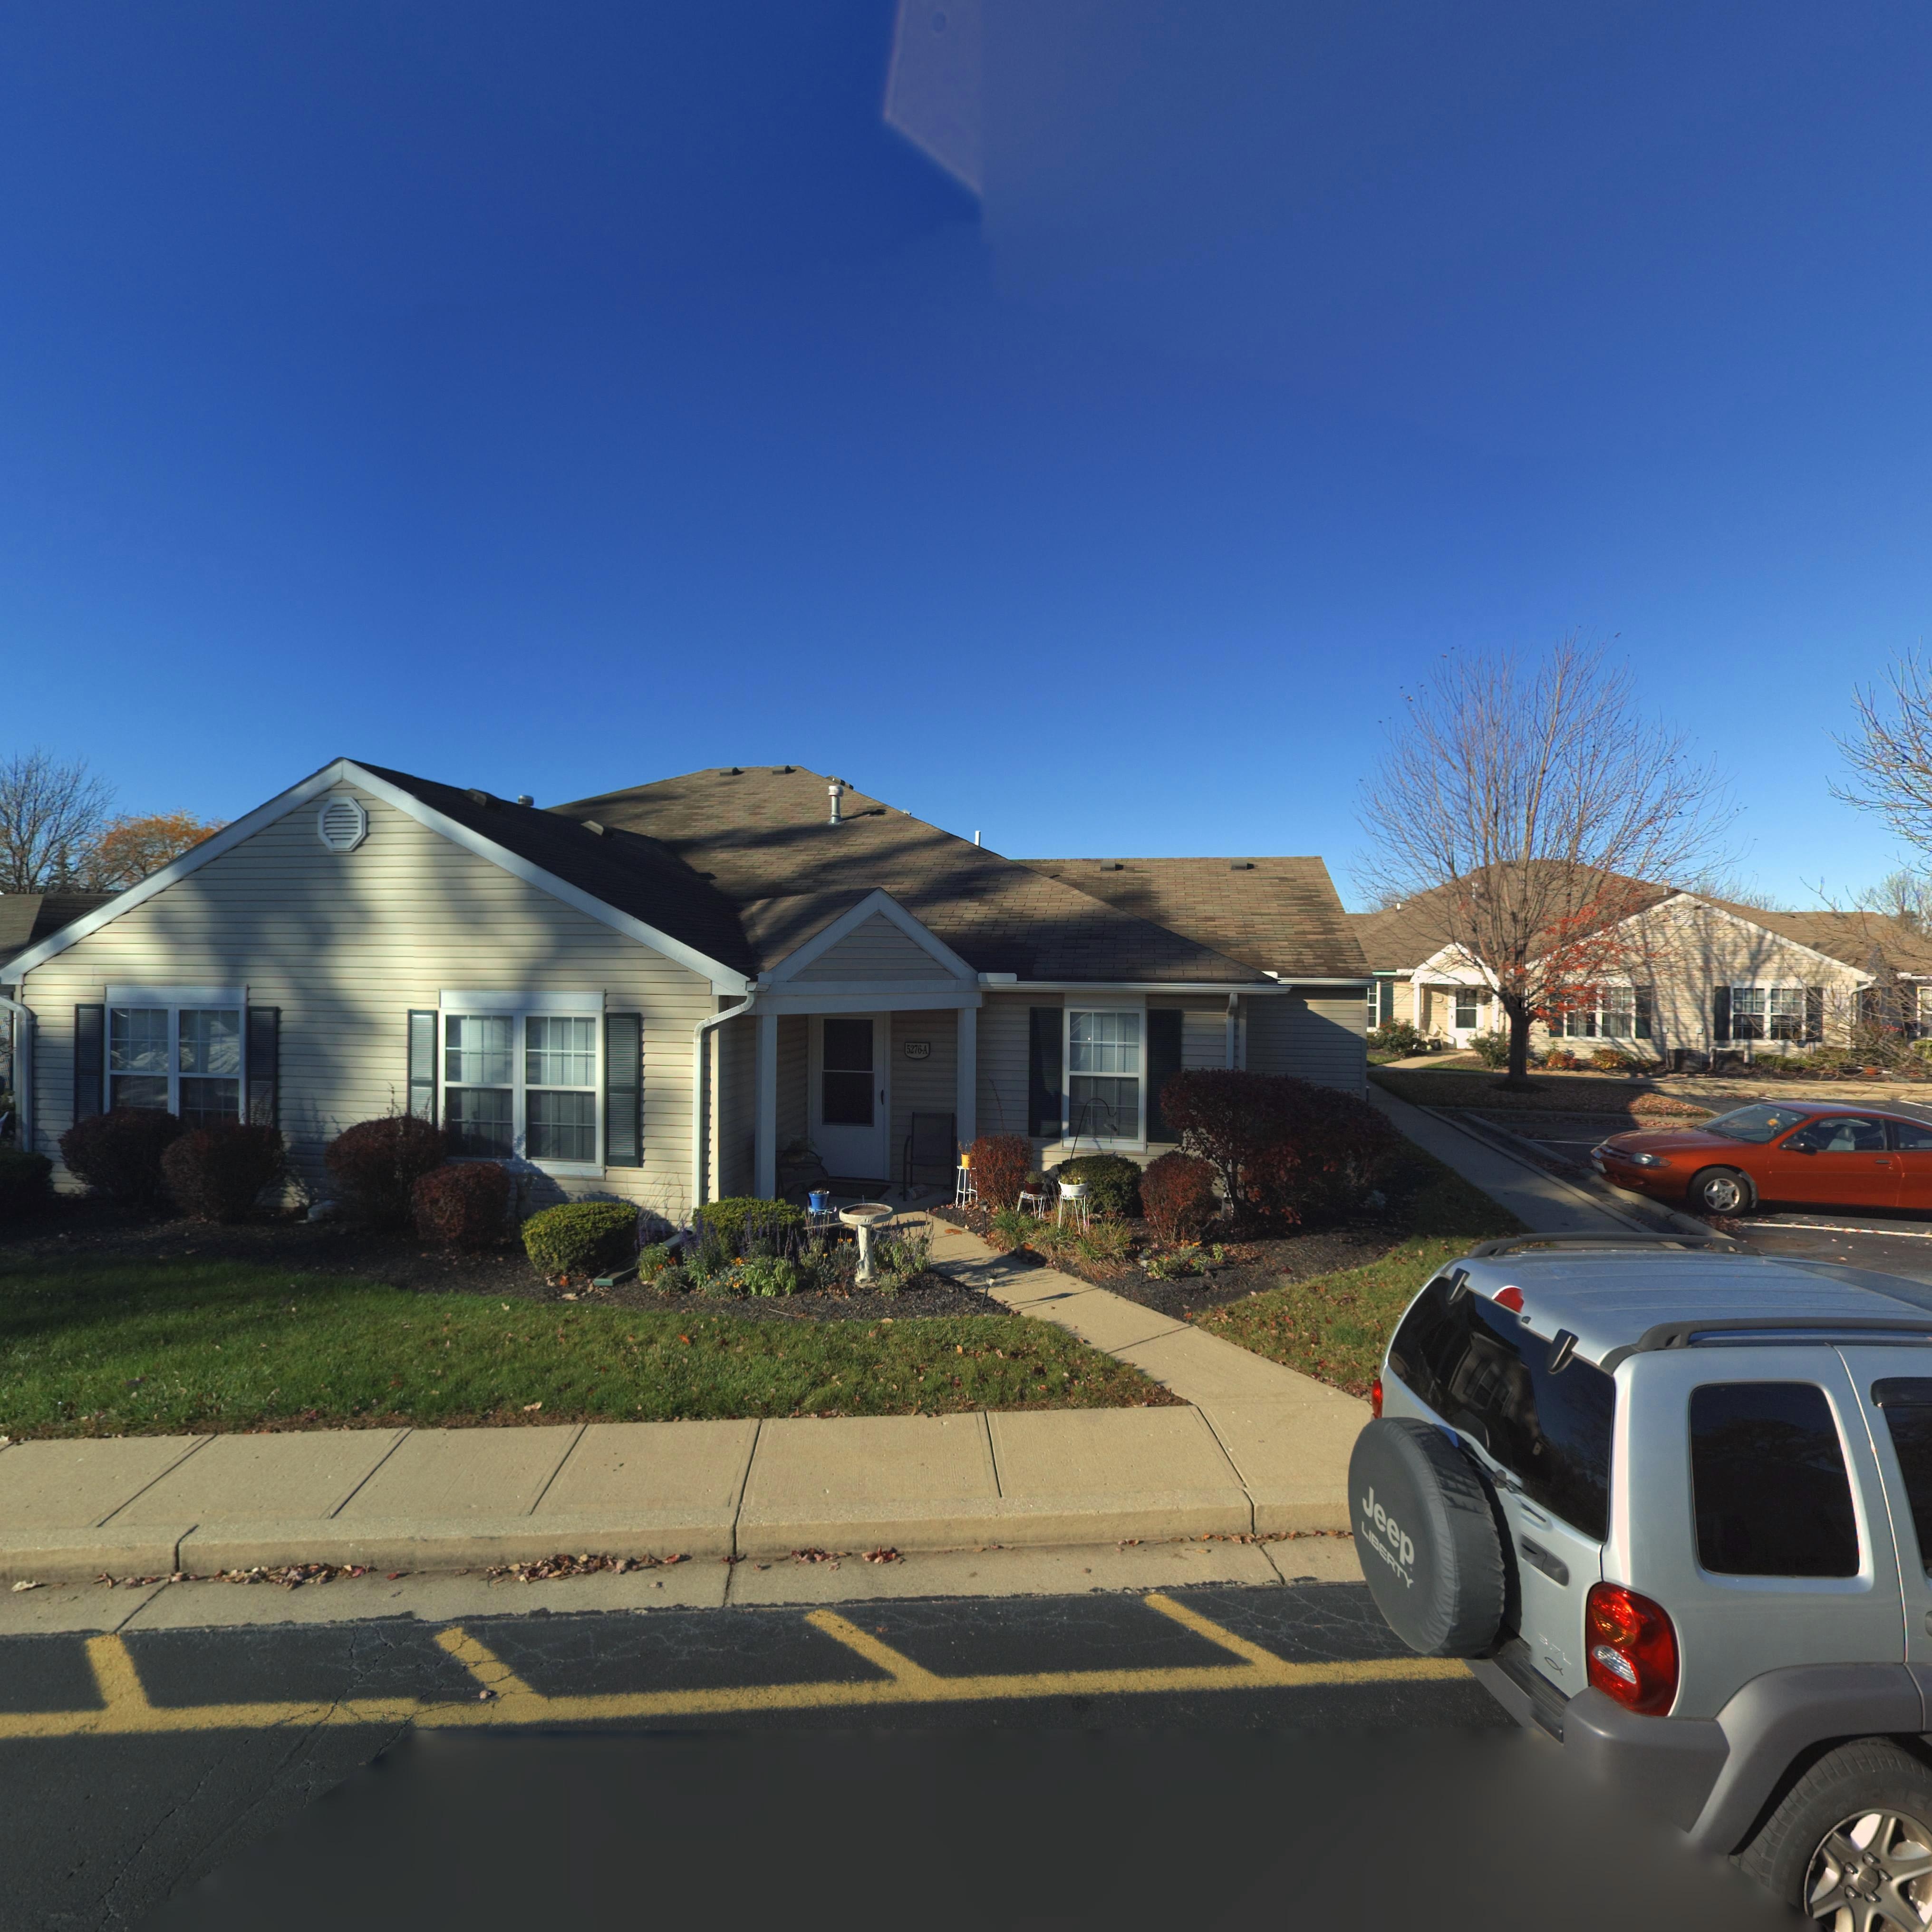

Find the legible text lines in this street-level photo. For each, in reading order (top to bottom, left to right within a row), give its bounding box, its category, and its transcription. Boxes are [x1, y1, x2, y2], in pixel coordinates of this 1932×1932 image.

[905, 1043, 928, 1055] StreetNumber: 5276-A